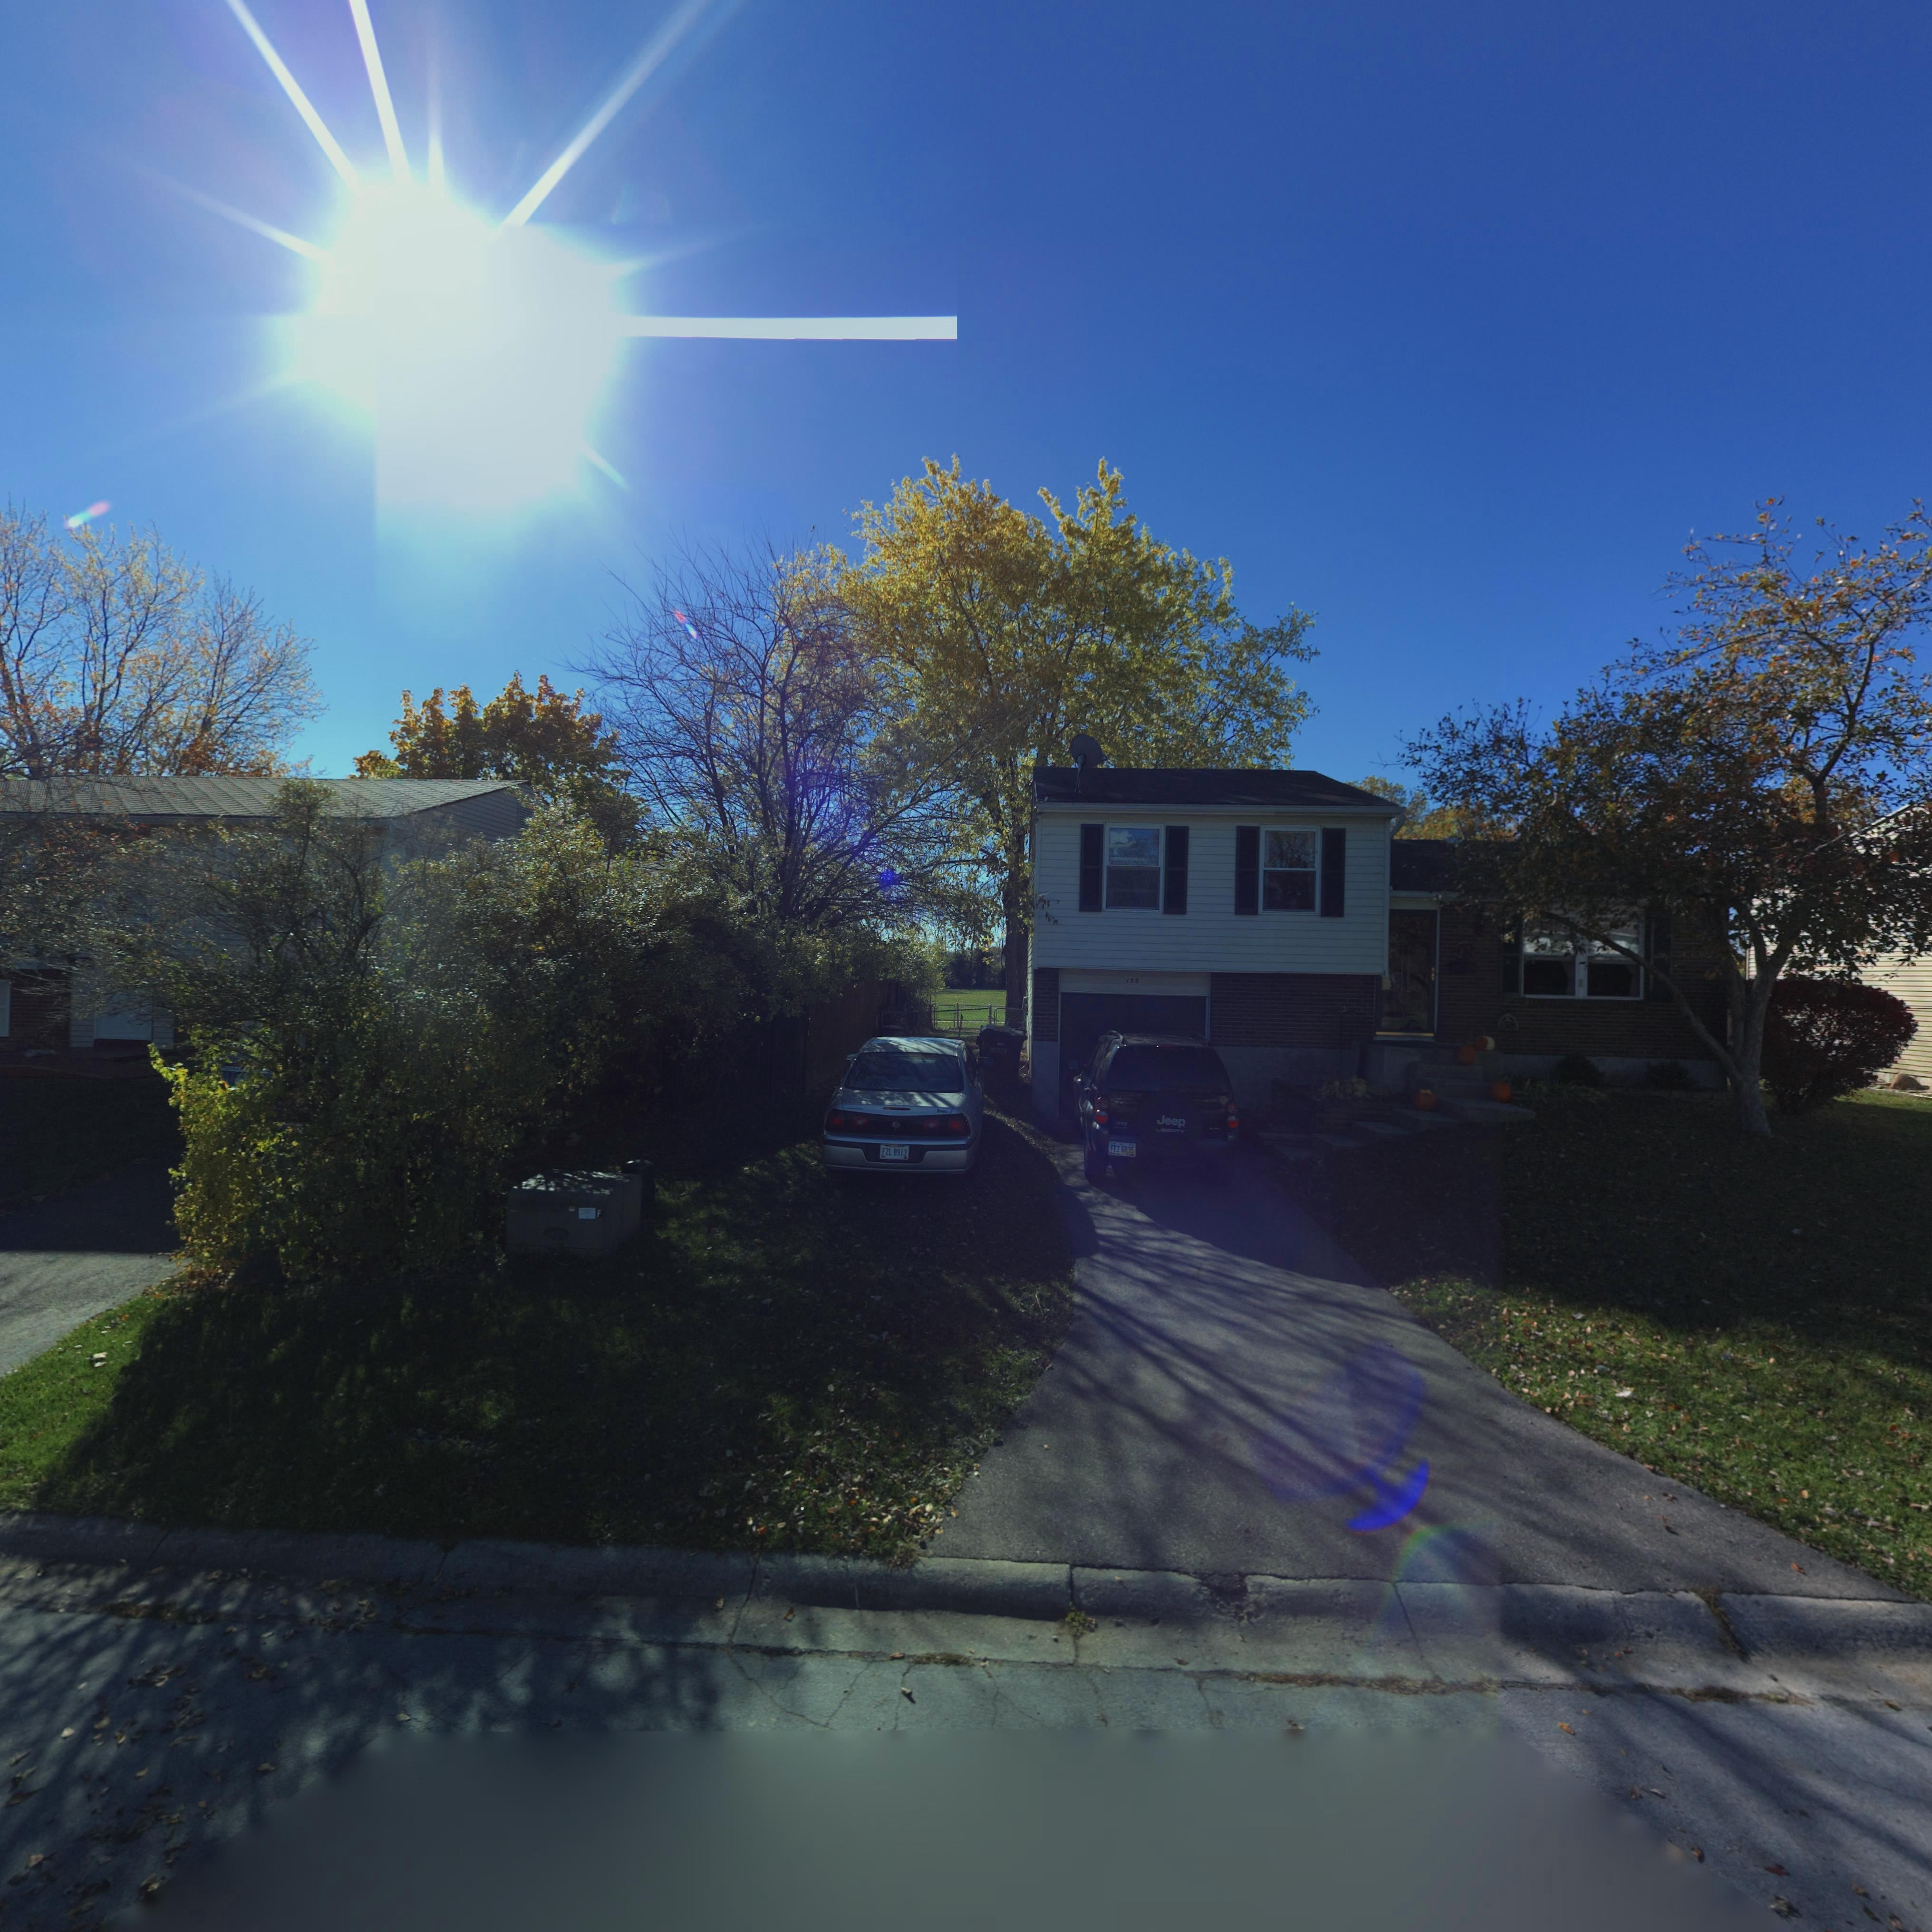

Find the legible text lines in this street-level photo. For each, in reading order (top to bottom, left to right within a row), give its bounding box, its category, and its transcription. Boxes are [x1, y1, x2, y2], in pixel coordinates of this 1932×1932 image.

[1125, 976, 1140, 985] StreetNumber: 135